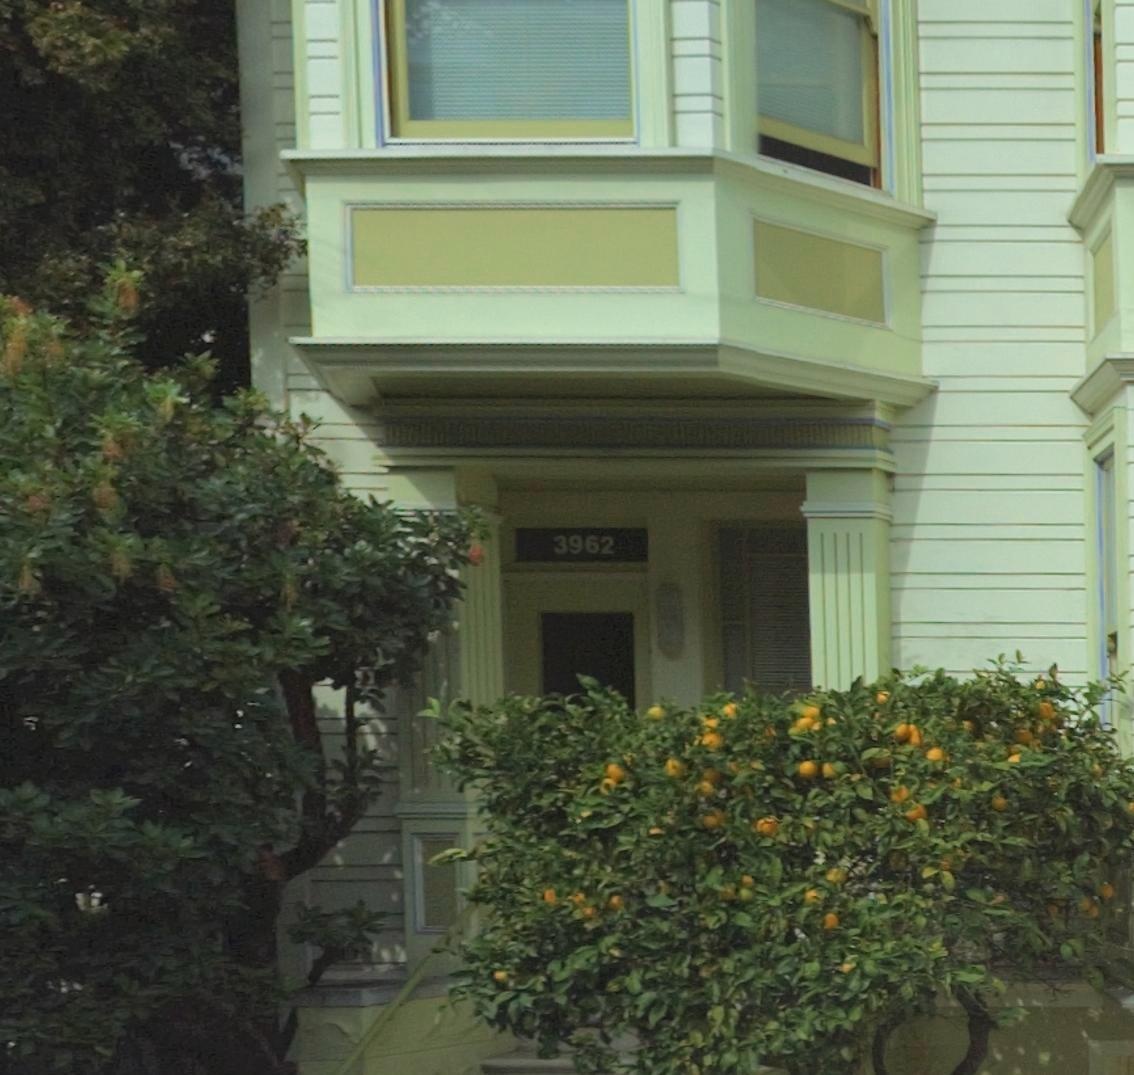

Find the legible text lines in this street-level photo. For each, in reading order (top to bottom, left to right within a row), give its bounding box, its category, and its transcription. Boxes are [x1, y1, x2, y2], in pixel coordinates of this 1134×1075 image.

[553, 534, 615, 555] StreetNumber: 3962